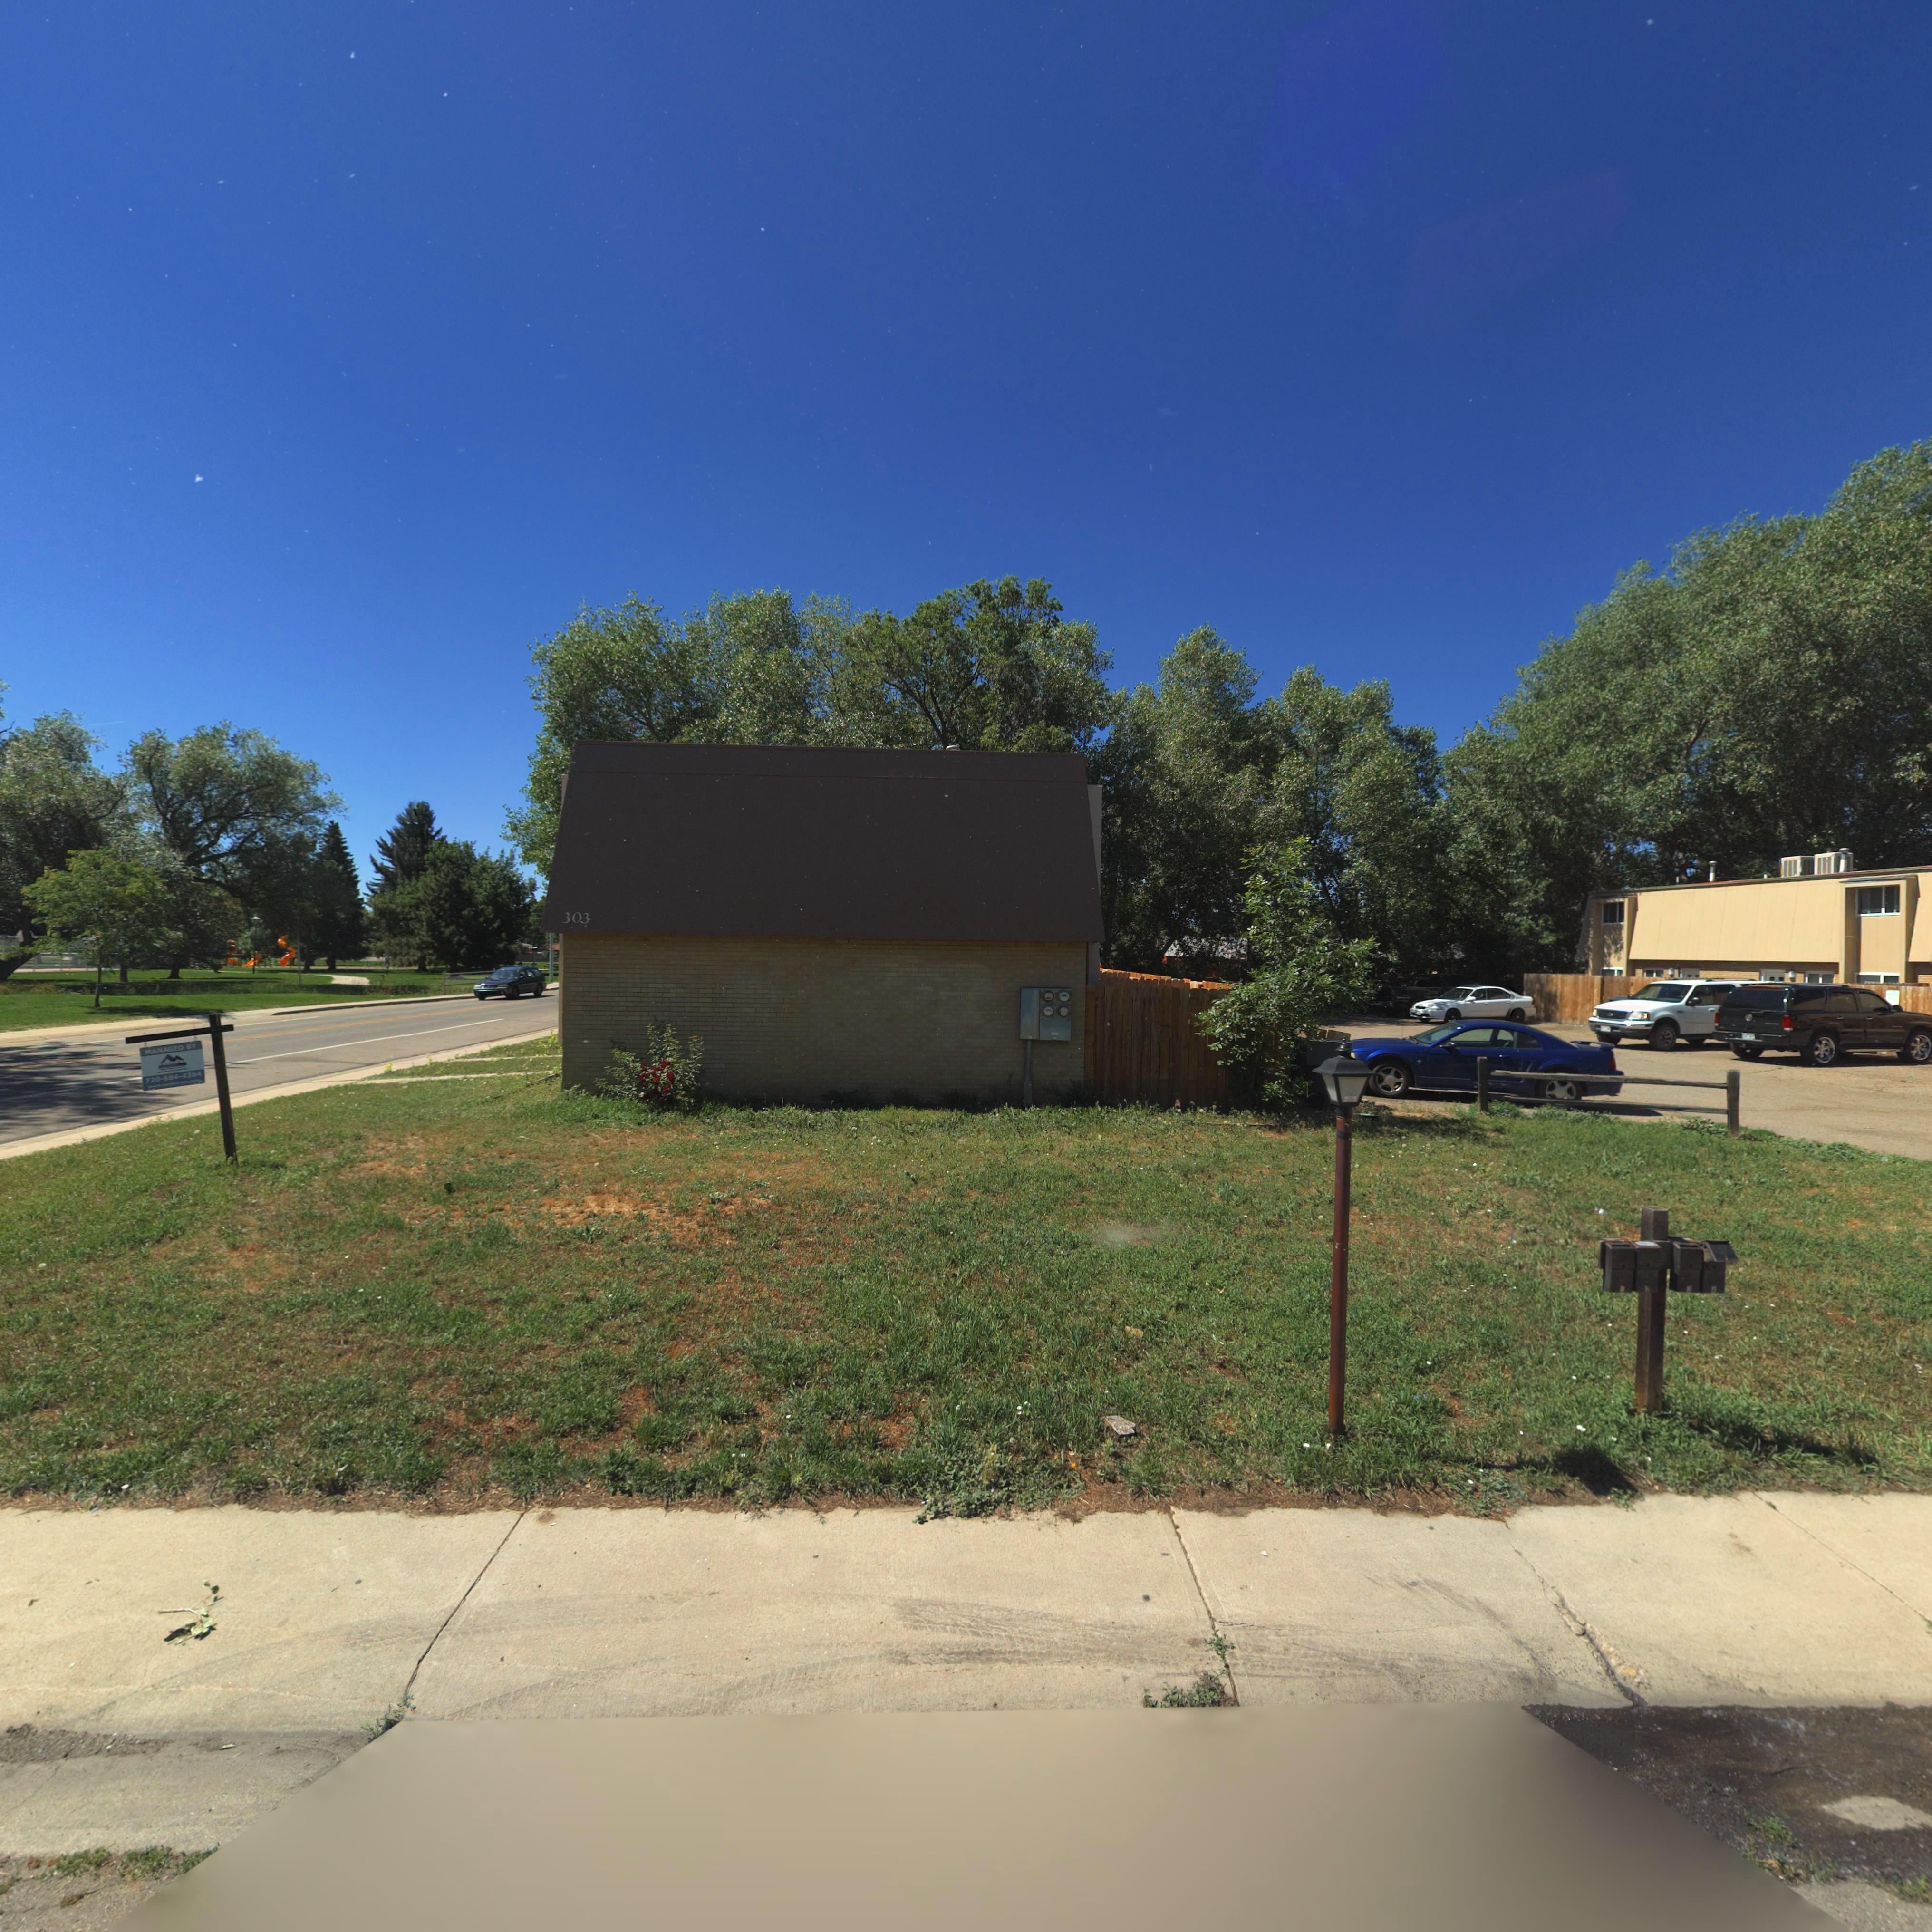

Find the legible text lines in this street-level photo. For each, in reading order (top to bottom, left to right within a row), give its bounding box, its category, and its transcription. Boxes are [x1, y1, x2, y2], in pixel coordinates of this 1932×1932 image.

[560, 911, 592, 925] StreetNumber: 303